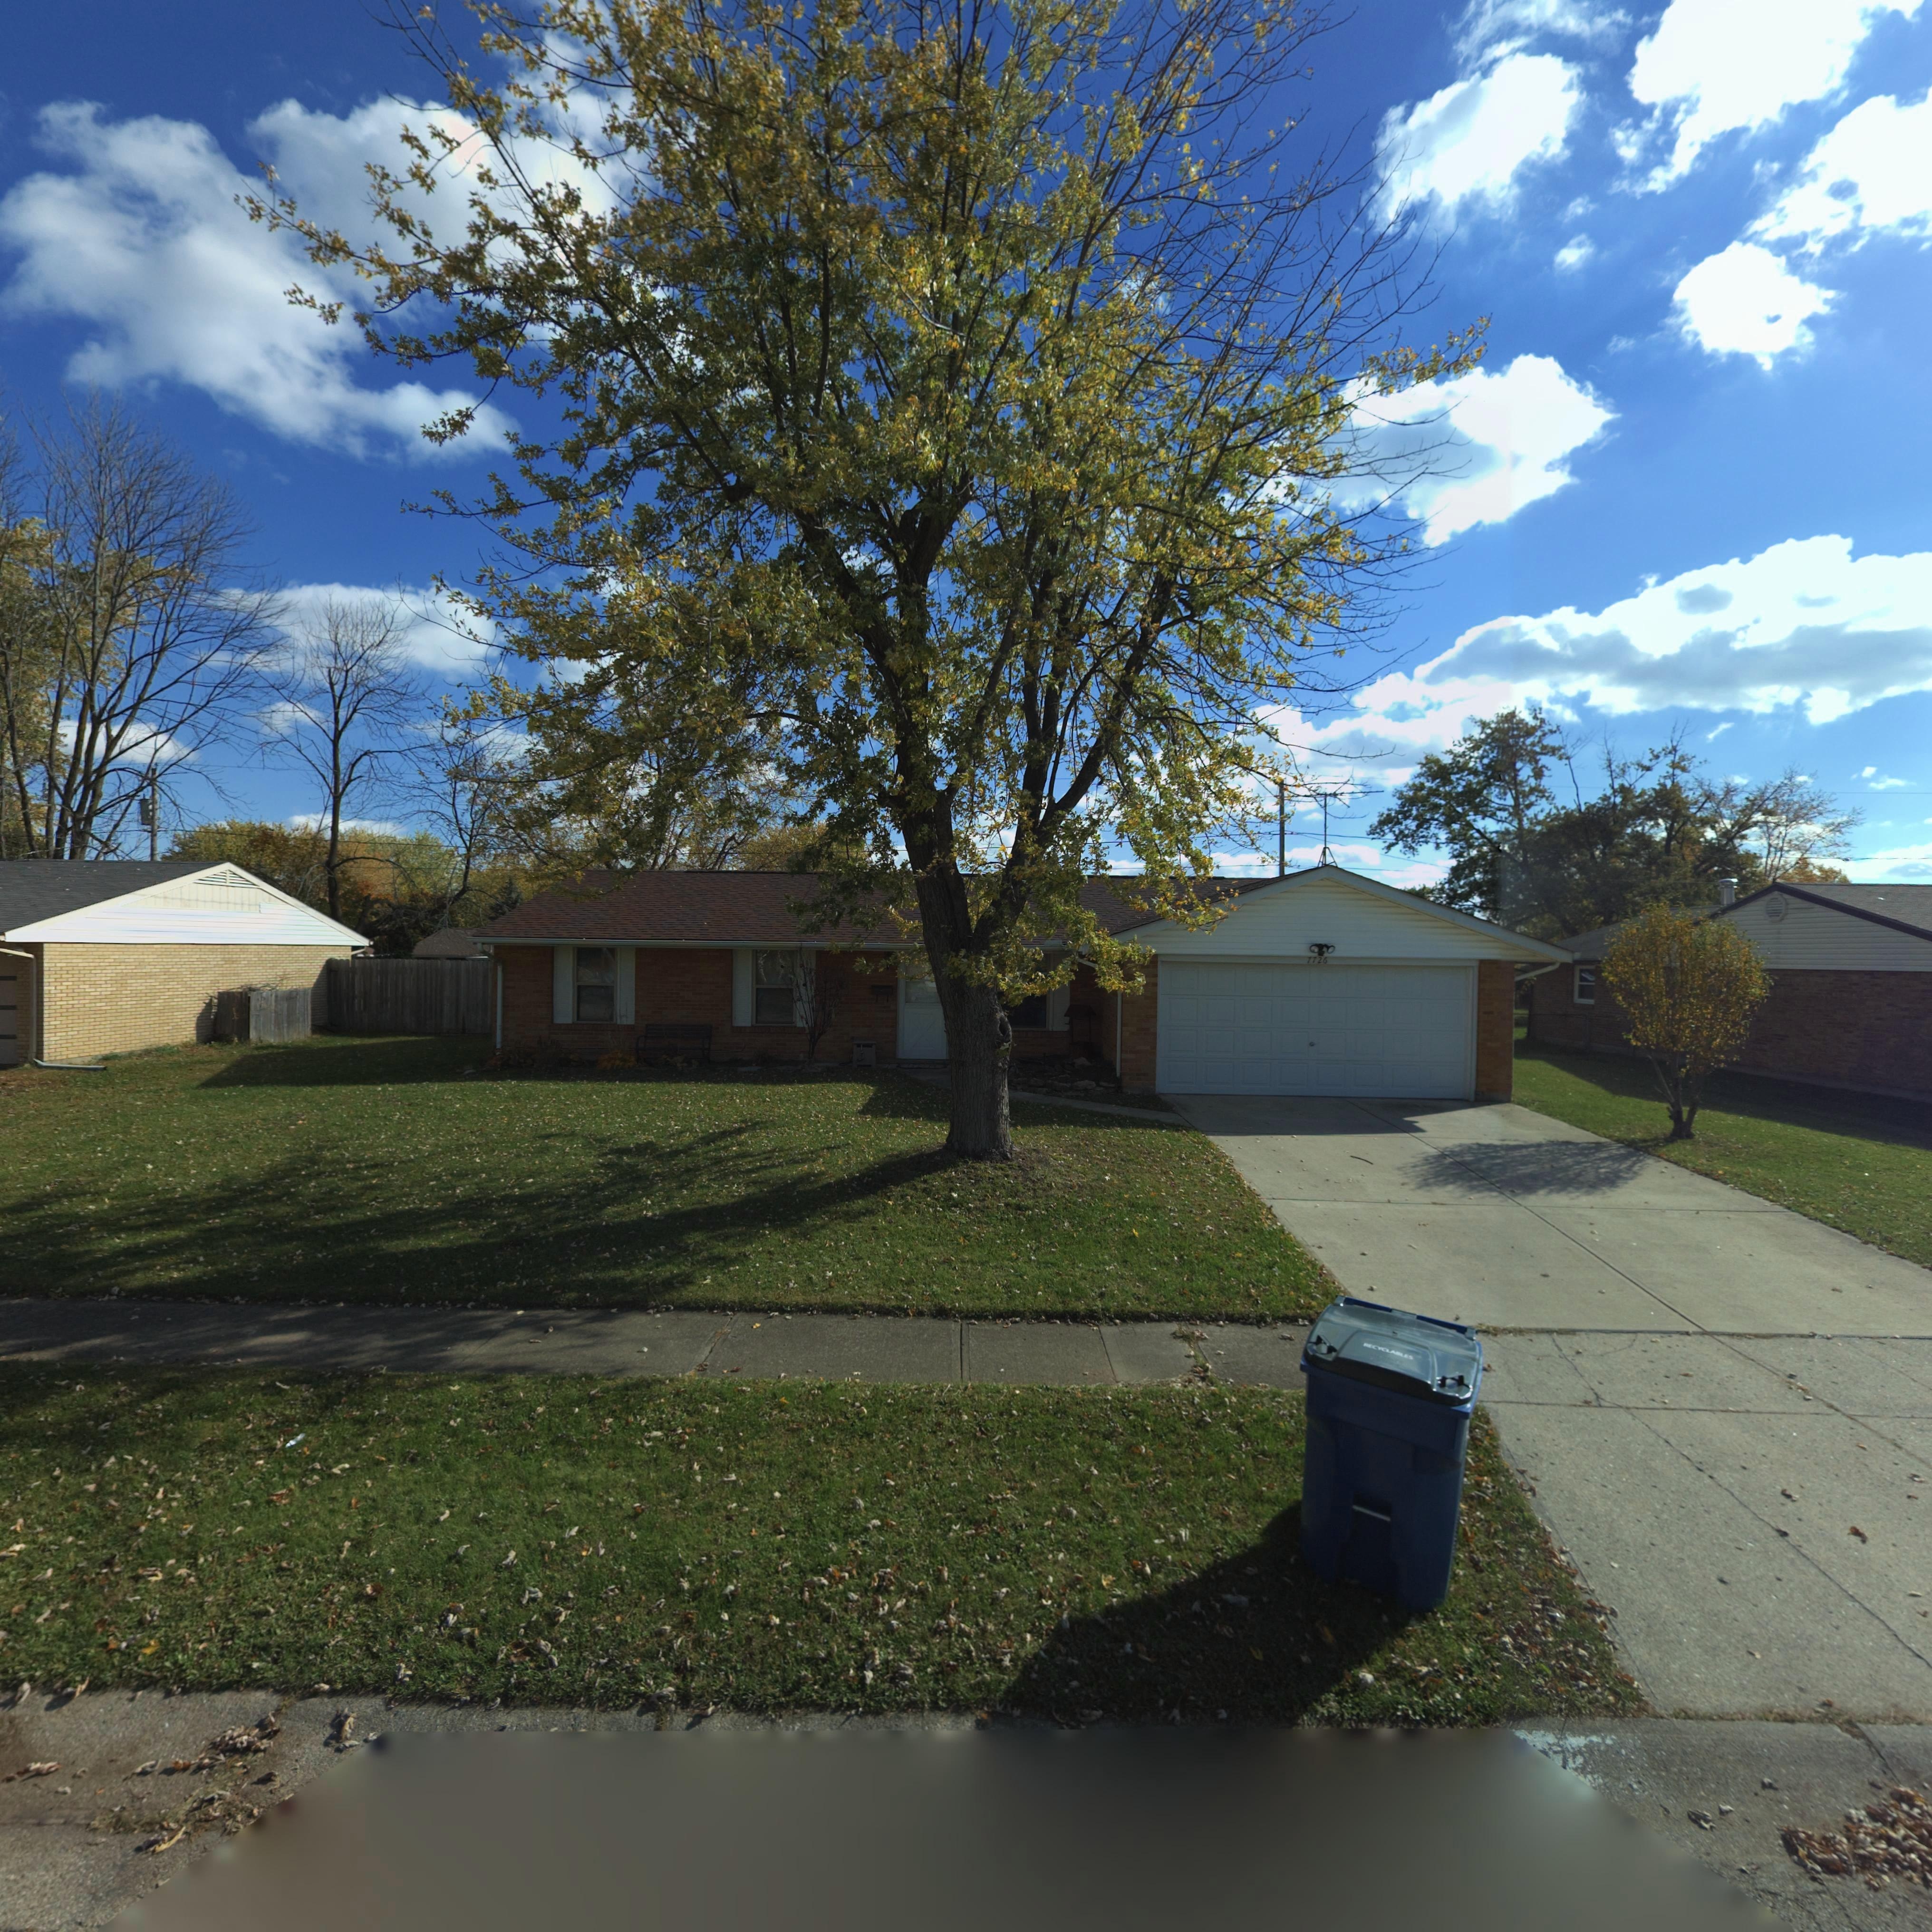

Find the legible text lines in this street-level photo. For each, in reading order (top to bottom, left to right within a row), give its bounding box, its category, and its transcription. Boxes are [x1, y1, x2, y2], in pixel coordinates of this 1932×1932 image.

[1306, 956, 1329, 965] StreetNumber: 7726